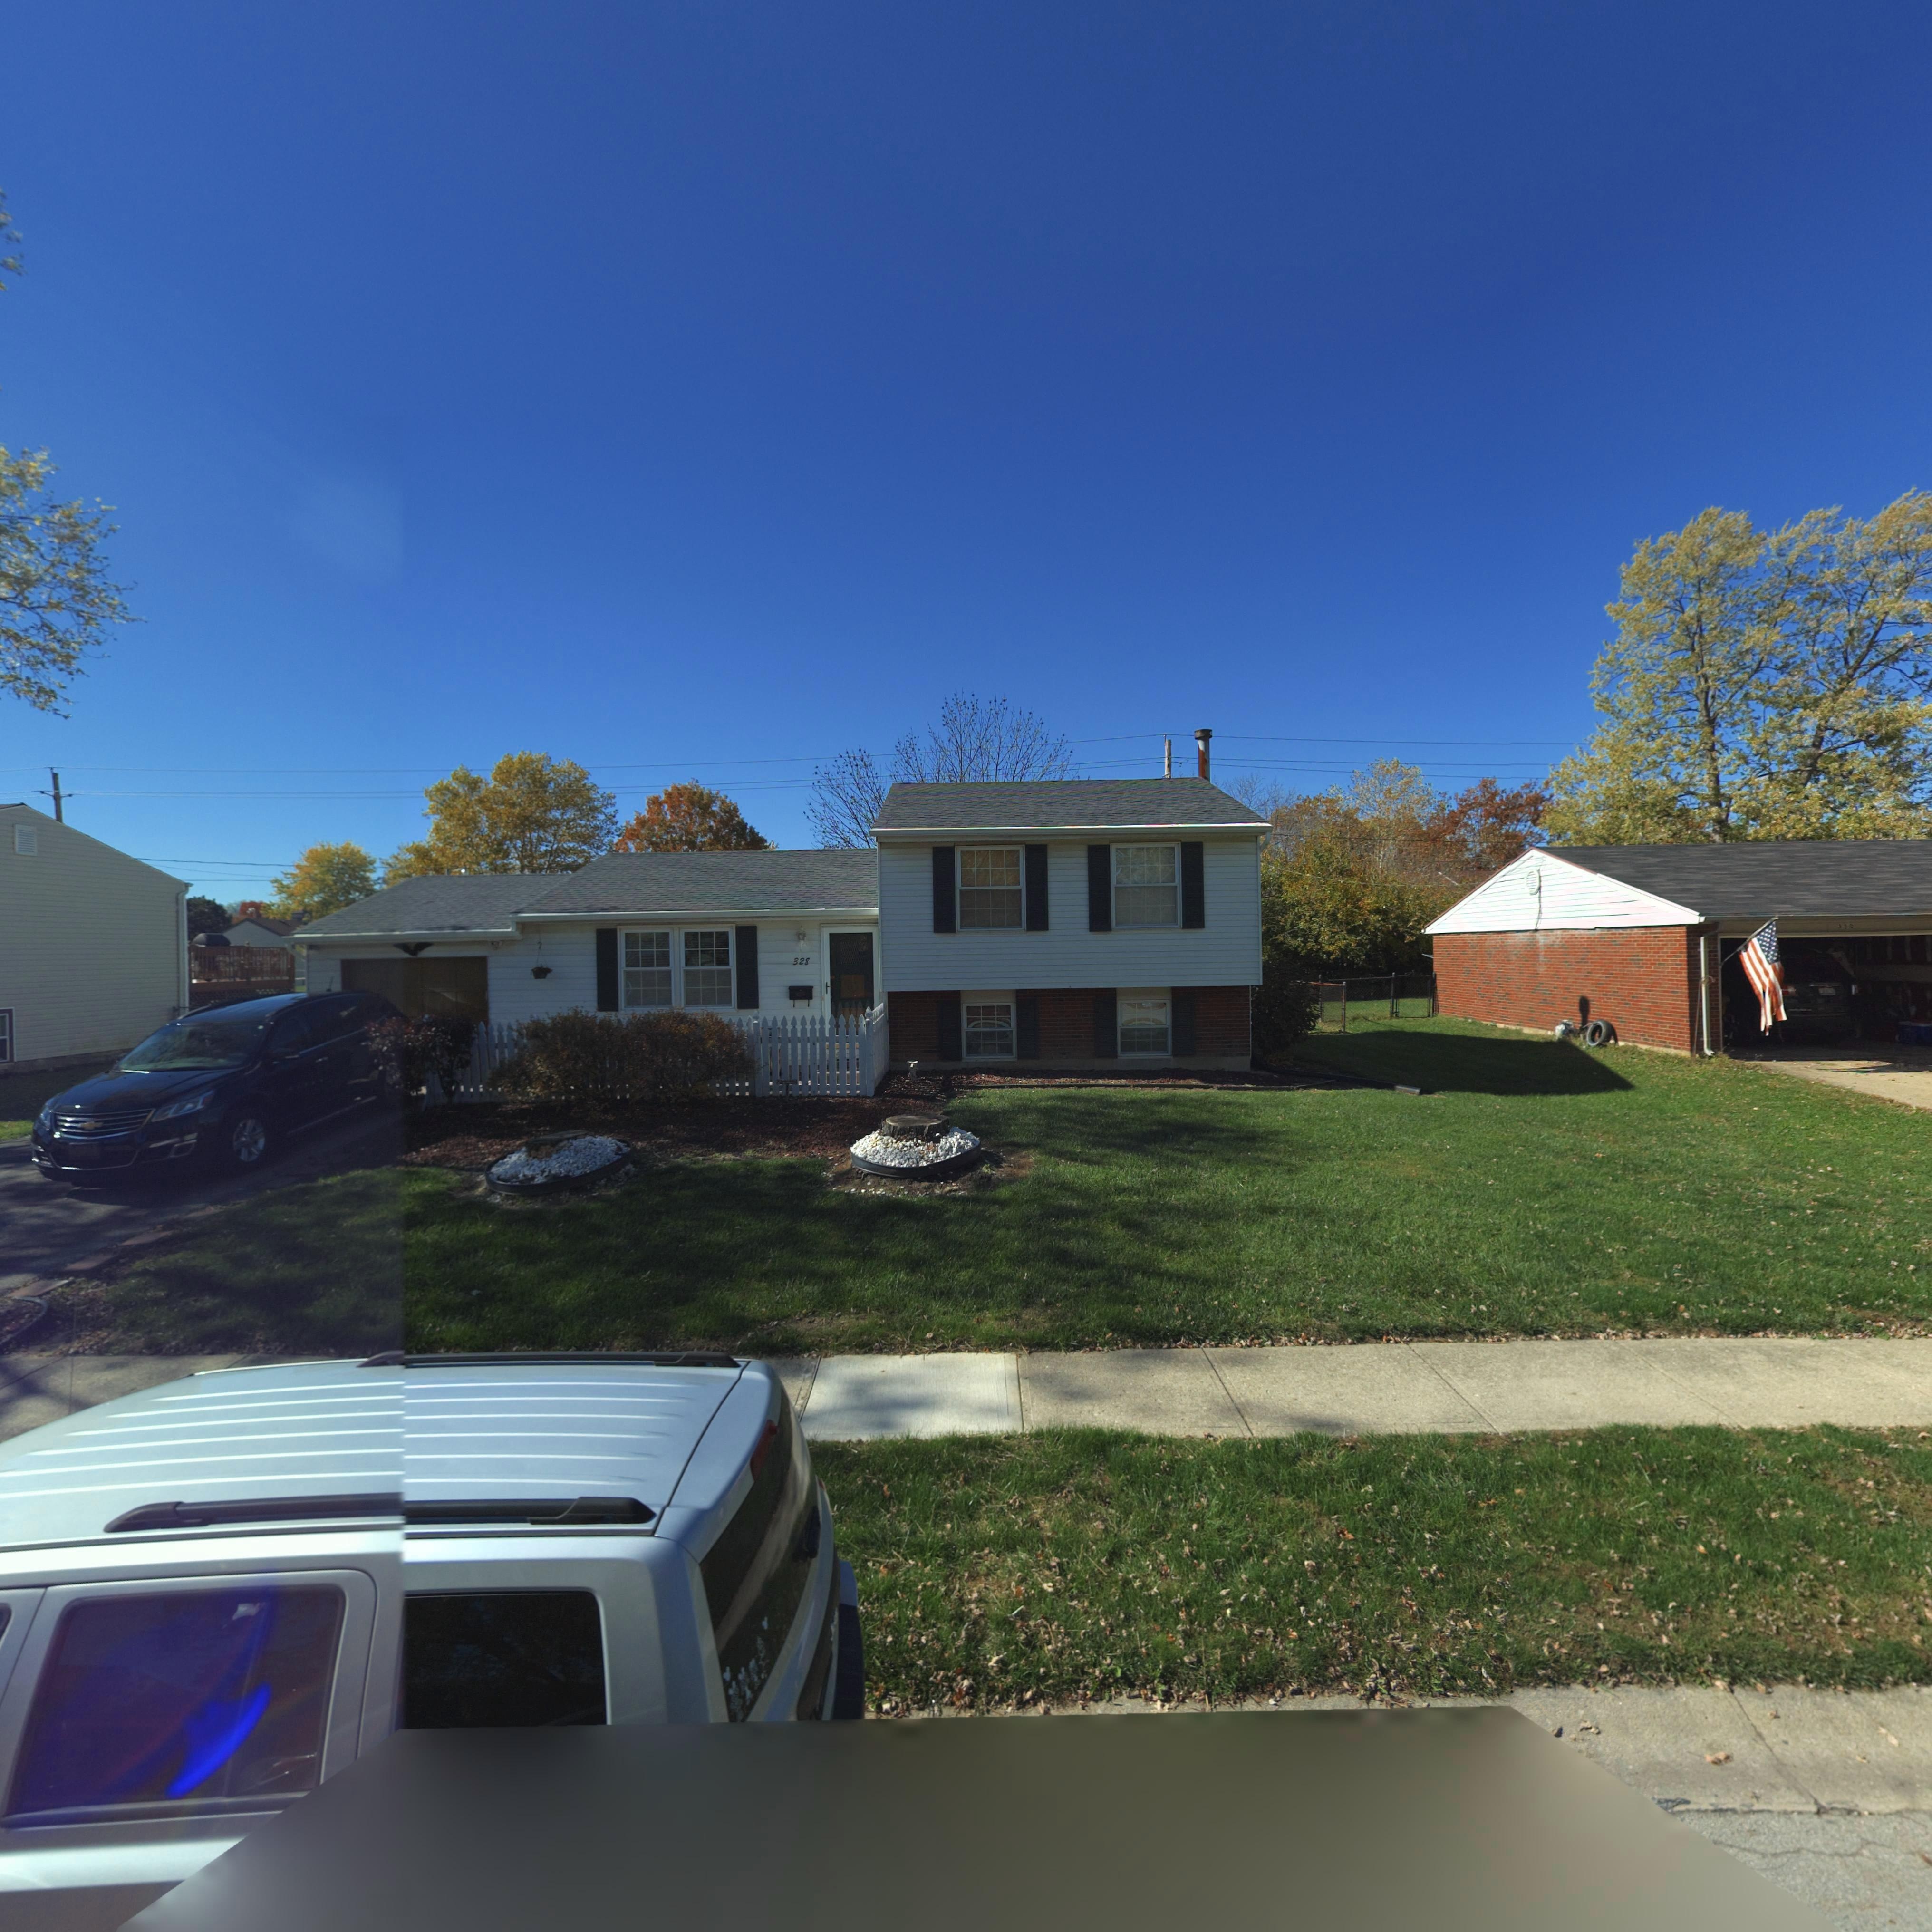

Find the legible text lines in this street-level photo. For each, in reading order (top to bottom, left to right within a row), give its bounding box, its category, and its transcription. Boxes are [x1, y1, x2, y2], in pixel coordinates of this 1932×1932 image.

[1837, 923, 1855, 930] StreetNumber: **0
[792, 956, 811, 966] StreetNumber: 328